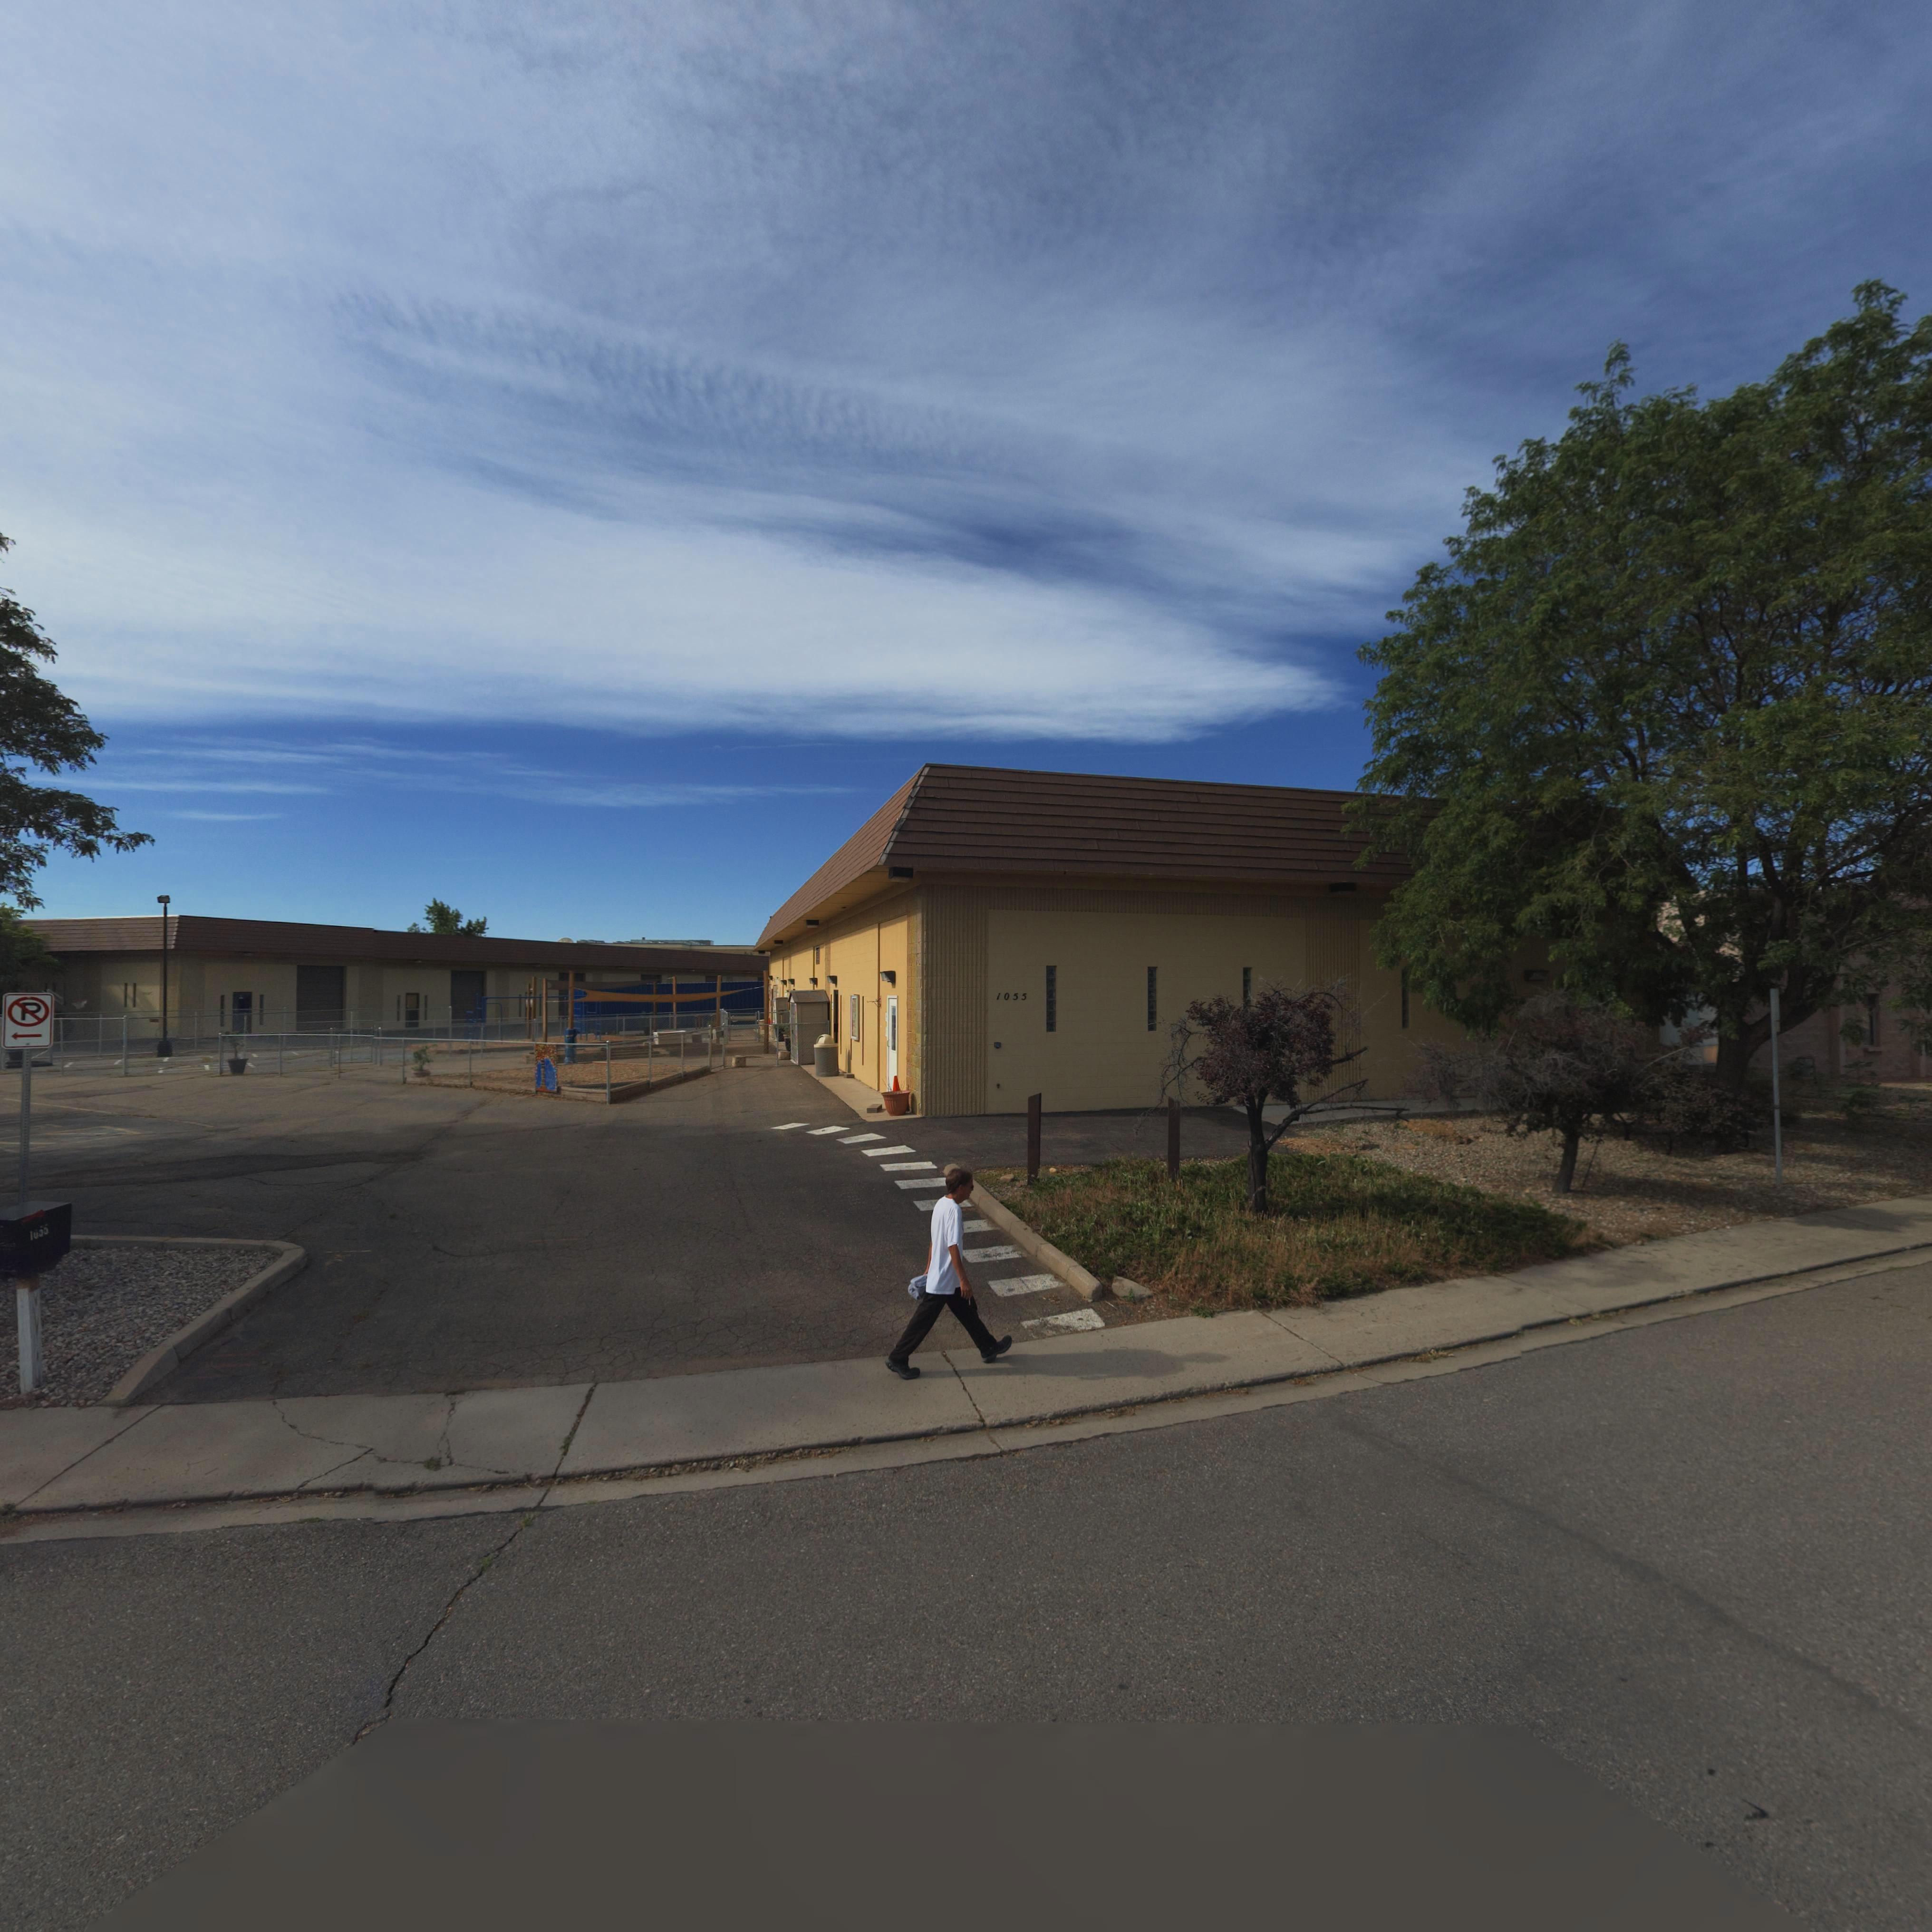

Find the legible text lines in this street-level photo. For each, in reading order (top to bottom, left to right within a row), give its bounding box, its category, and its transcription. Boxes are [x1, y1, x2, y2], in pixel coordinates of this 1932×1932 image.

[996, 992, 1027, 1001] StreetNumber: 1055
[29, 1222, 48, 1243] StreetNumber: 1055